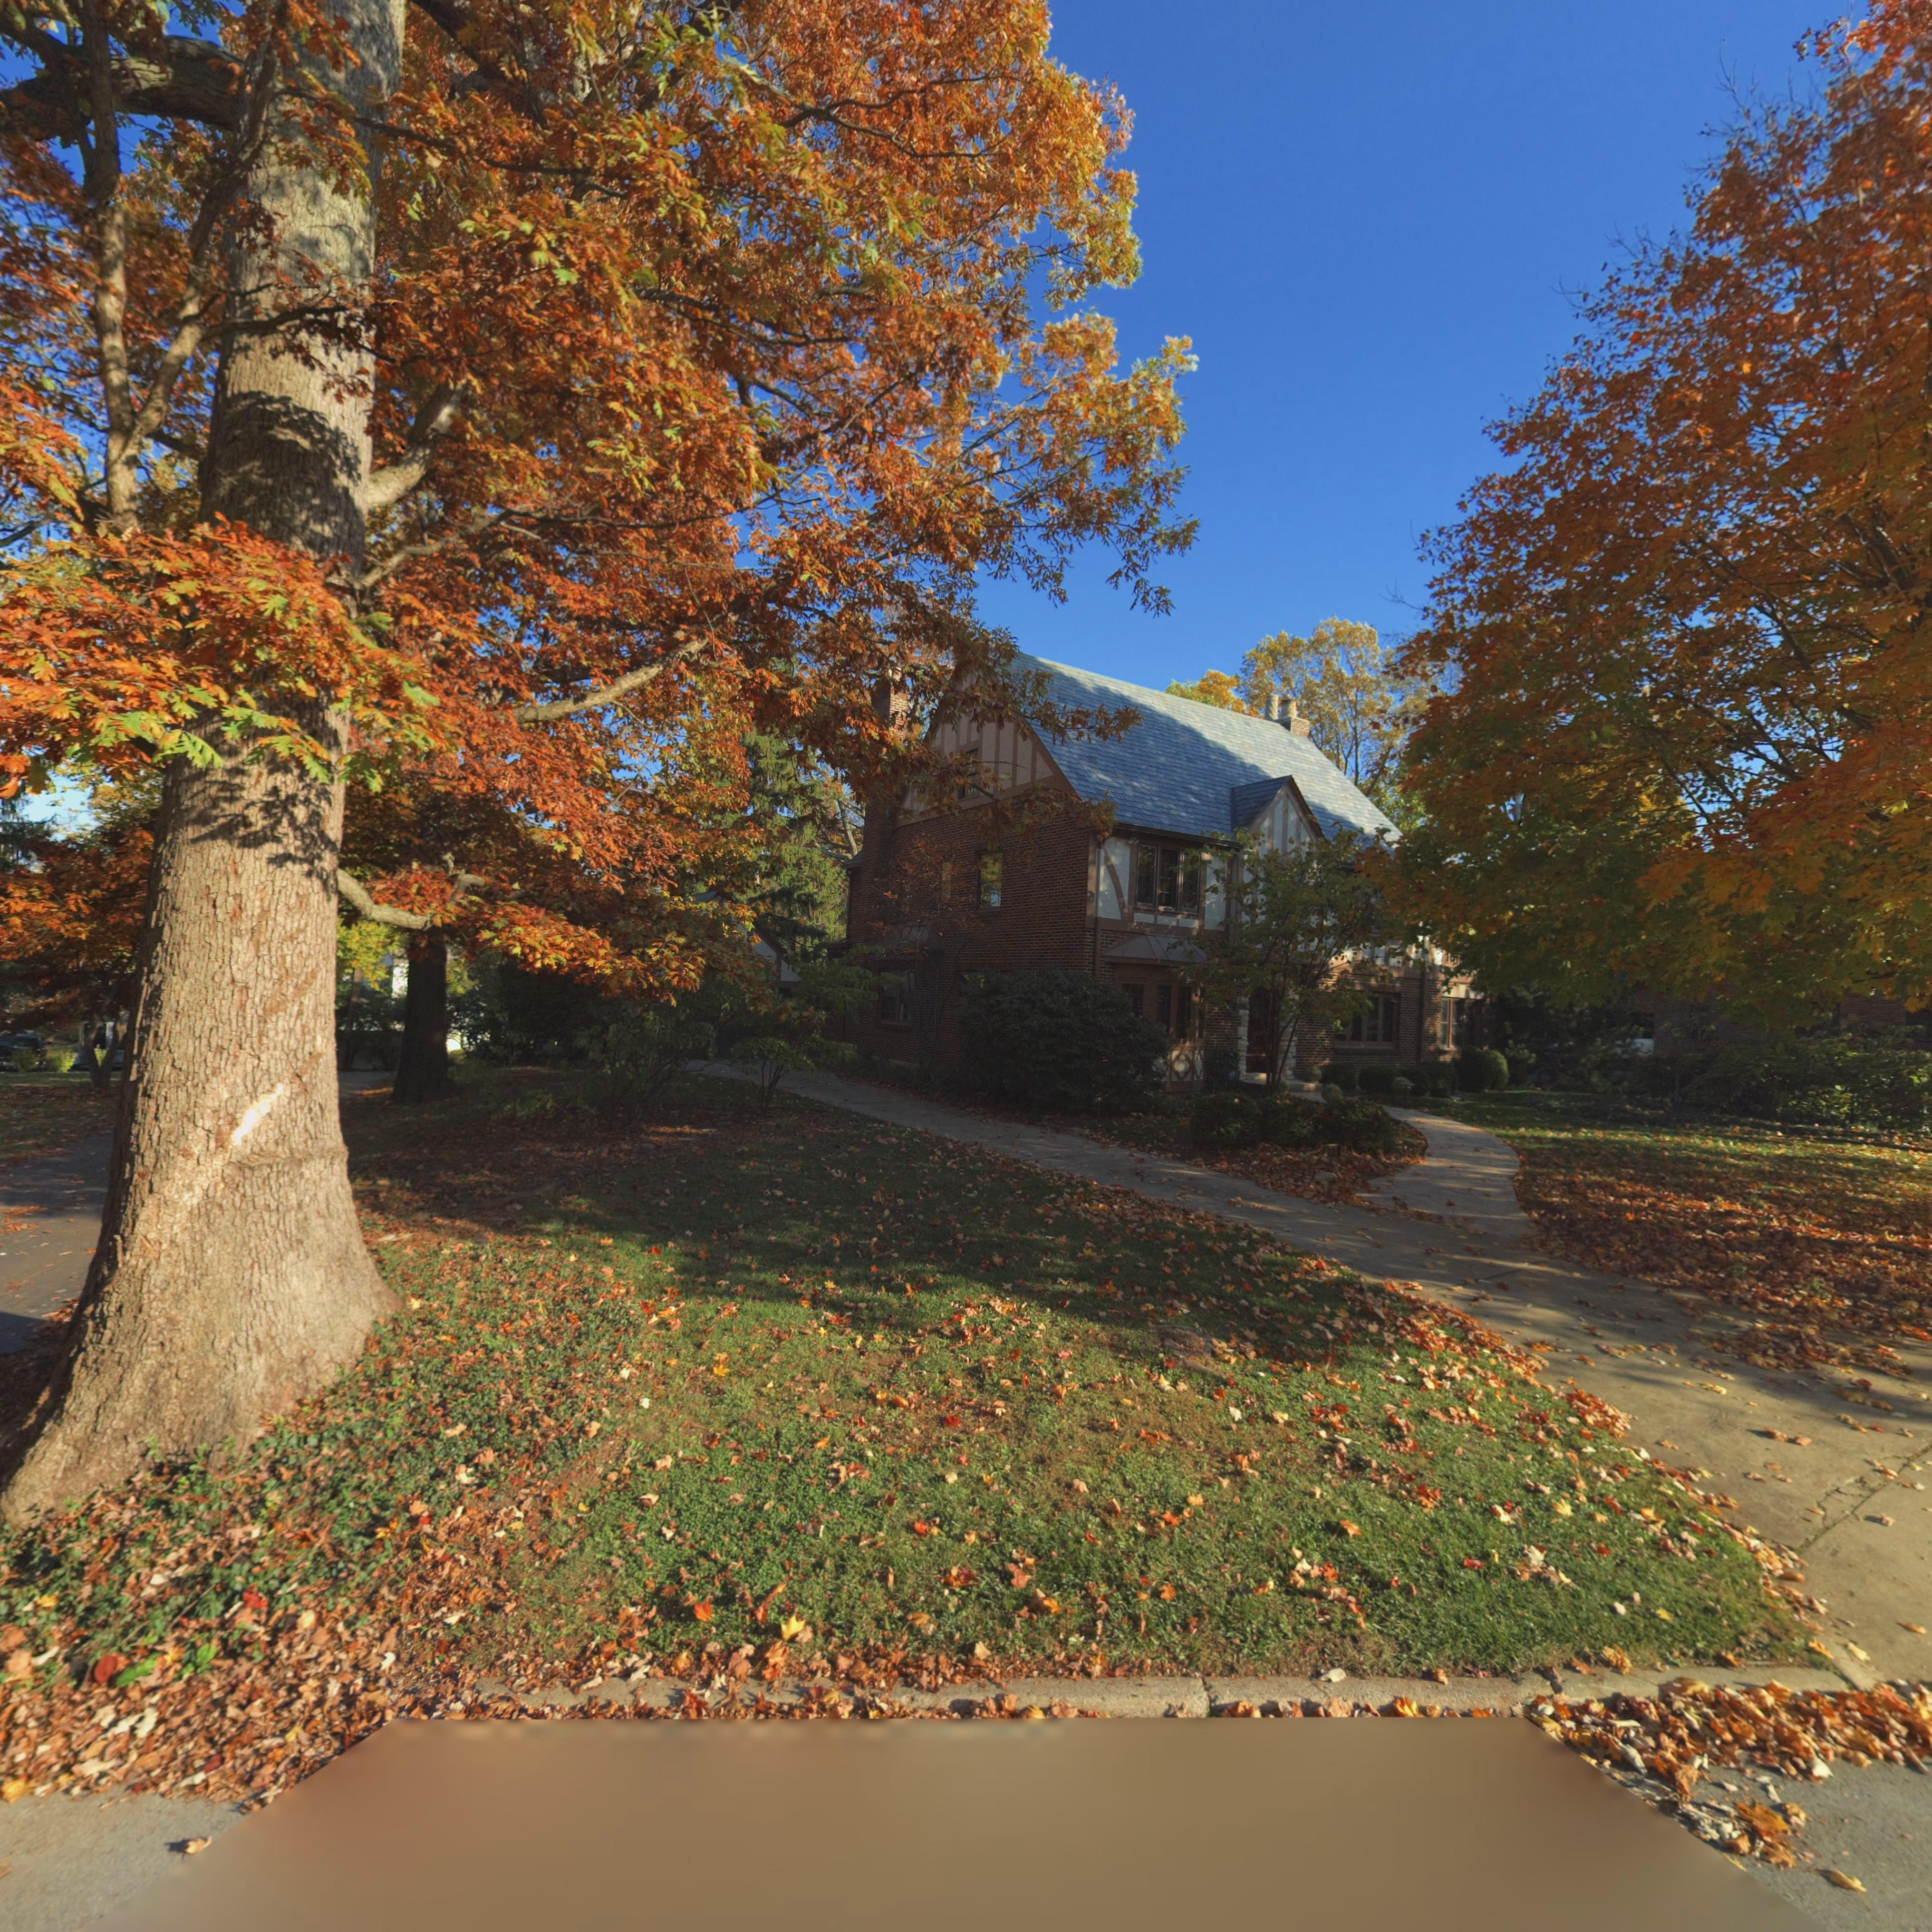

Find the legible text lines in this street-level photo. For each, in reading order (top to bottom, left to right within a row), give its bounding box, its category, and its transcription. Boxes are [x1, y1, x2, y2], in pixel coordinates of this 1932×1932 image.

[1323, 1145, 1340, 1158] StreetNumber: 294